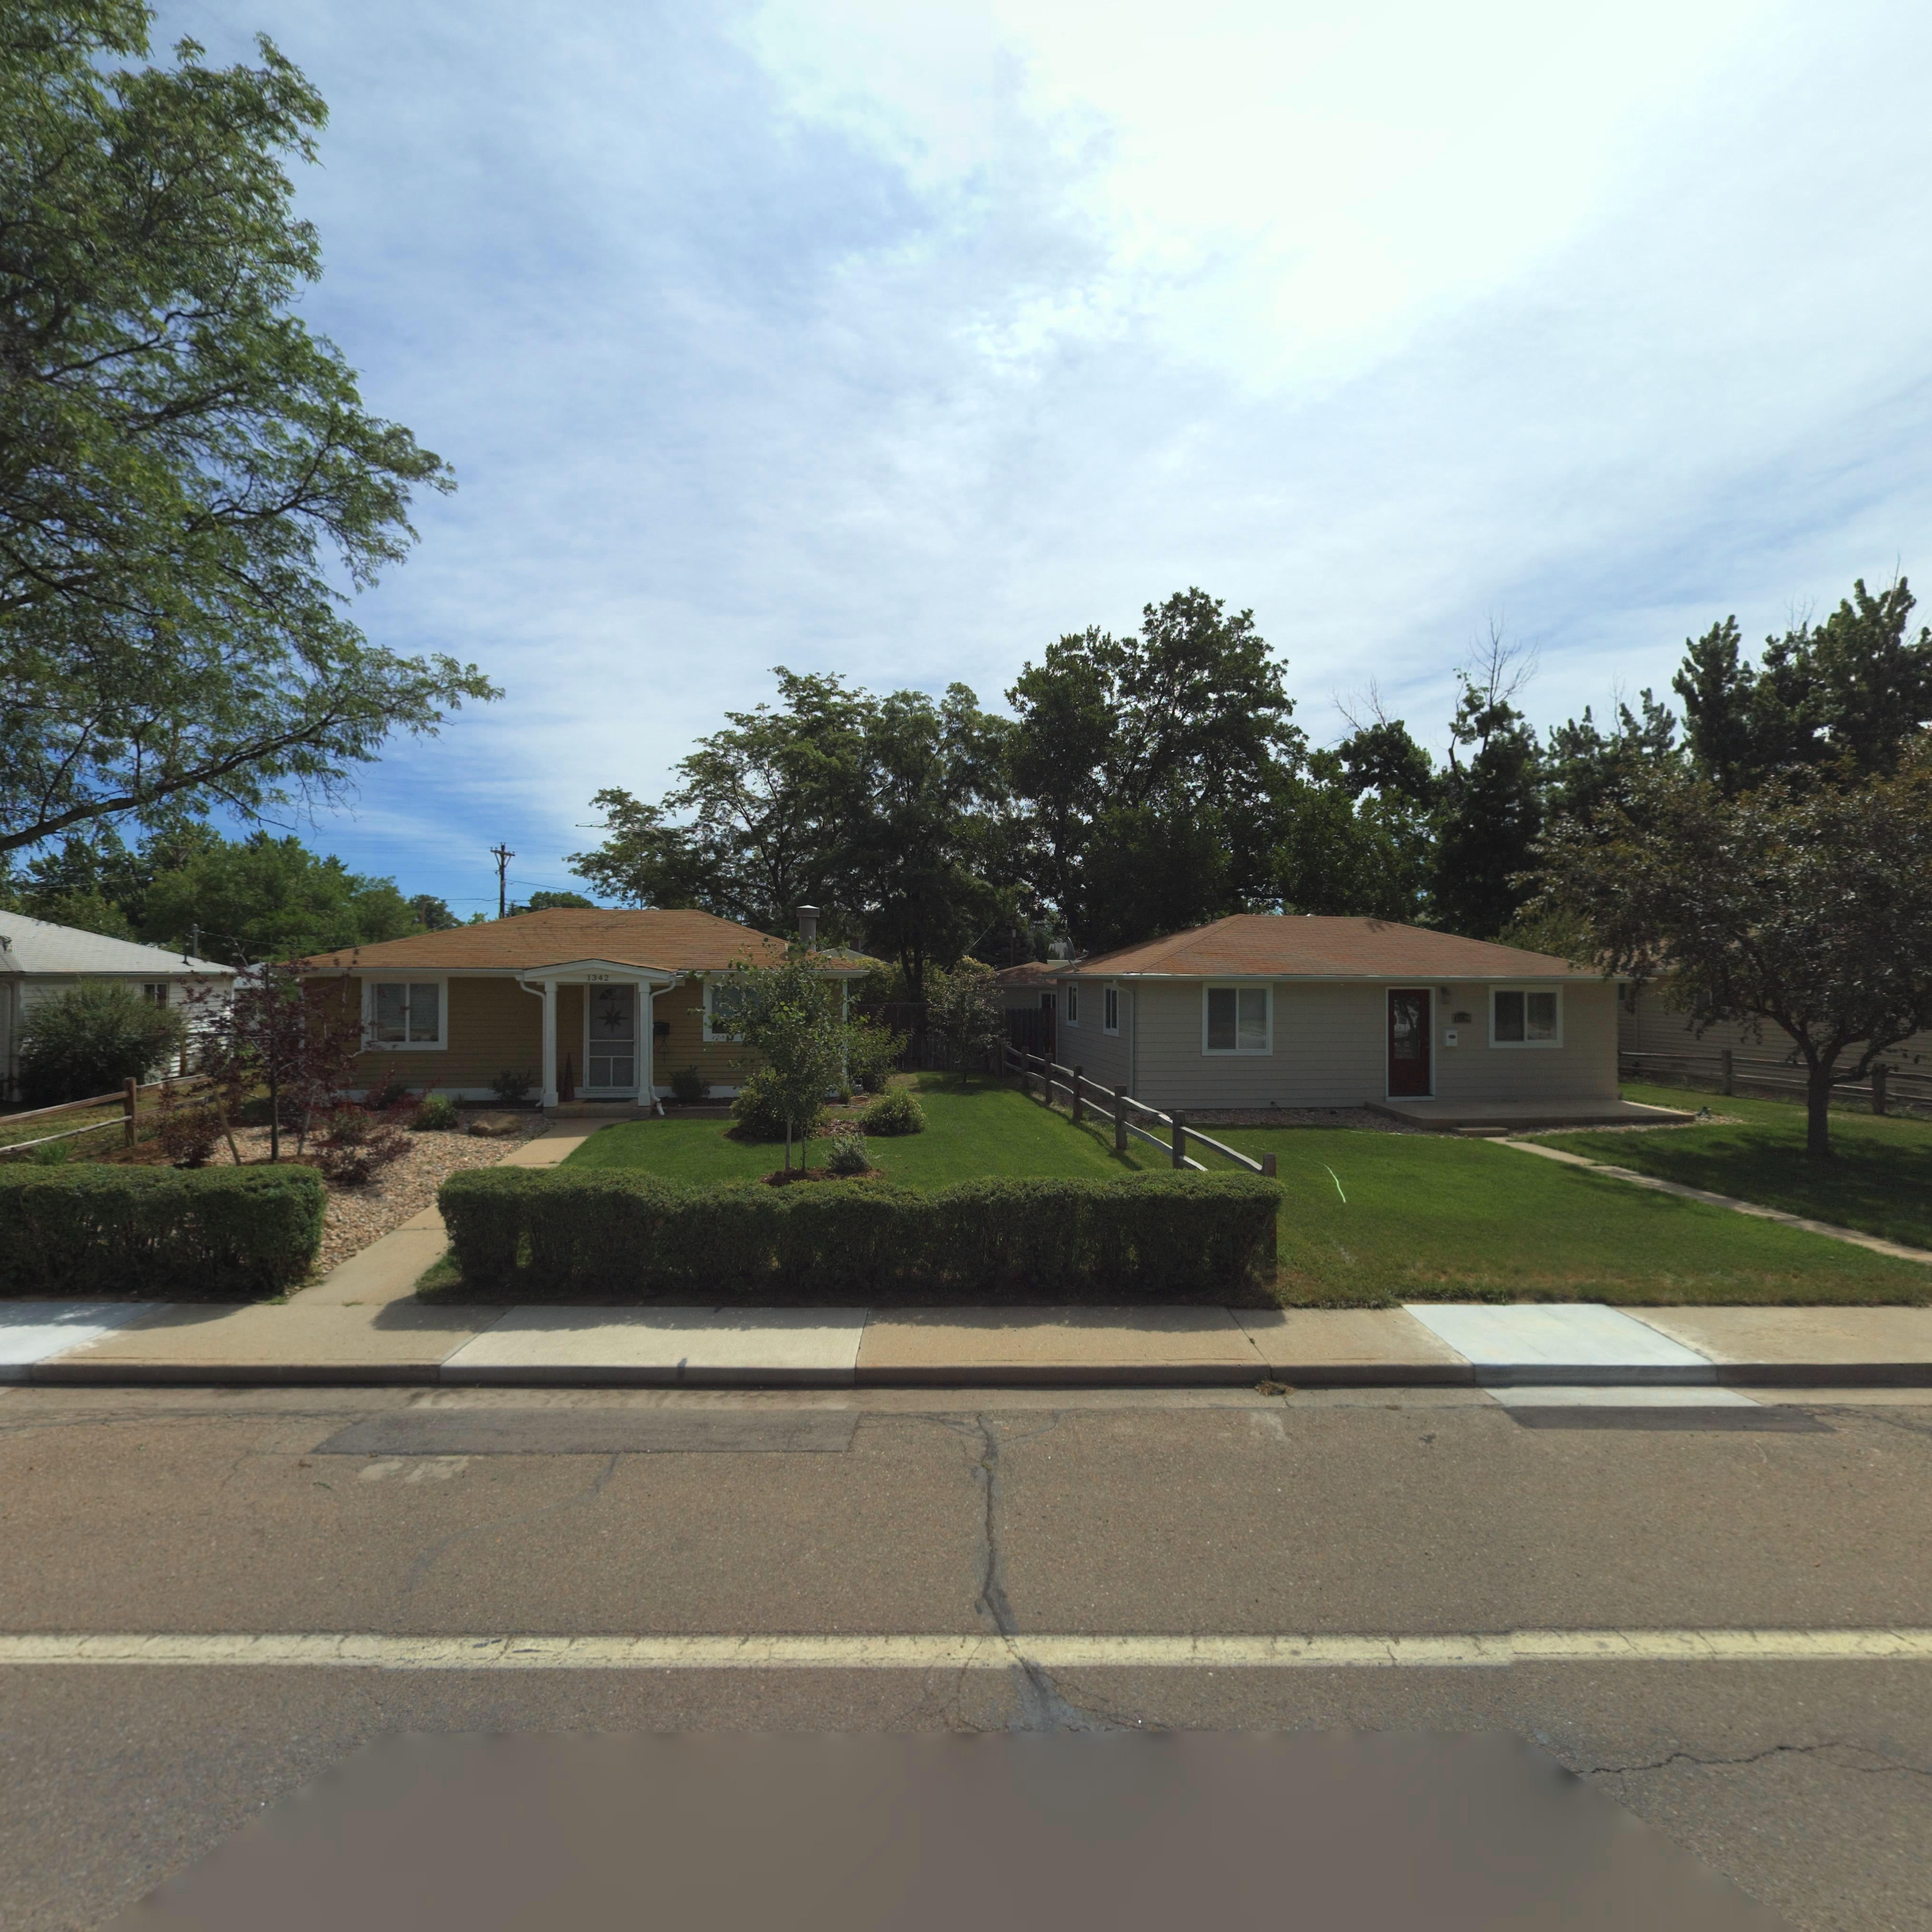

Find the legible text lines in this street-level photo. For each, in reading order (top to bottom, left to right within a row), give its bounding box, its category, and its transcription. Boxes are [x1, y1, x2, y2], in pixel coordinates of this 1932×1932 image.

[587, 974, 609, 981] StreetNumber: 1342
[1454, 1014, 1471, 1021] StreetNumber: 1338